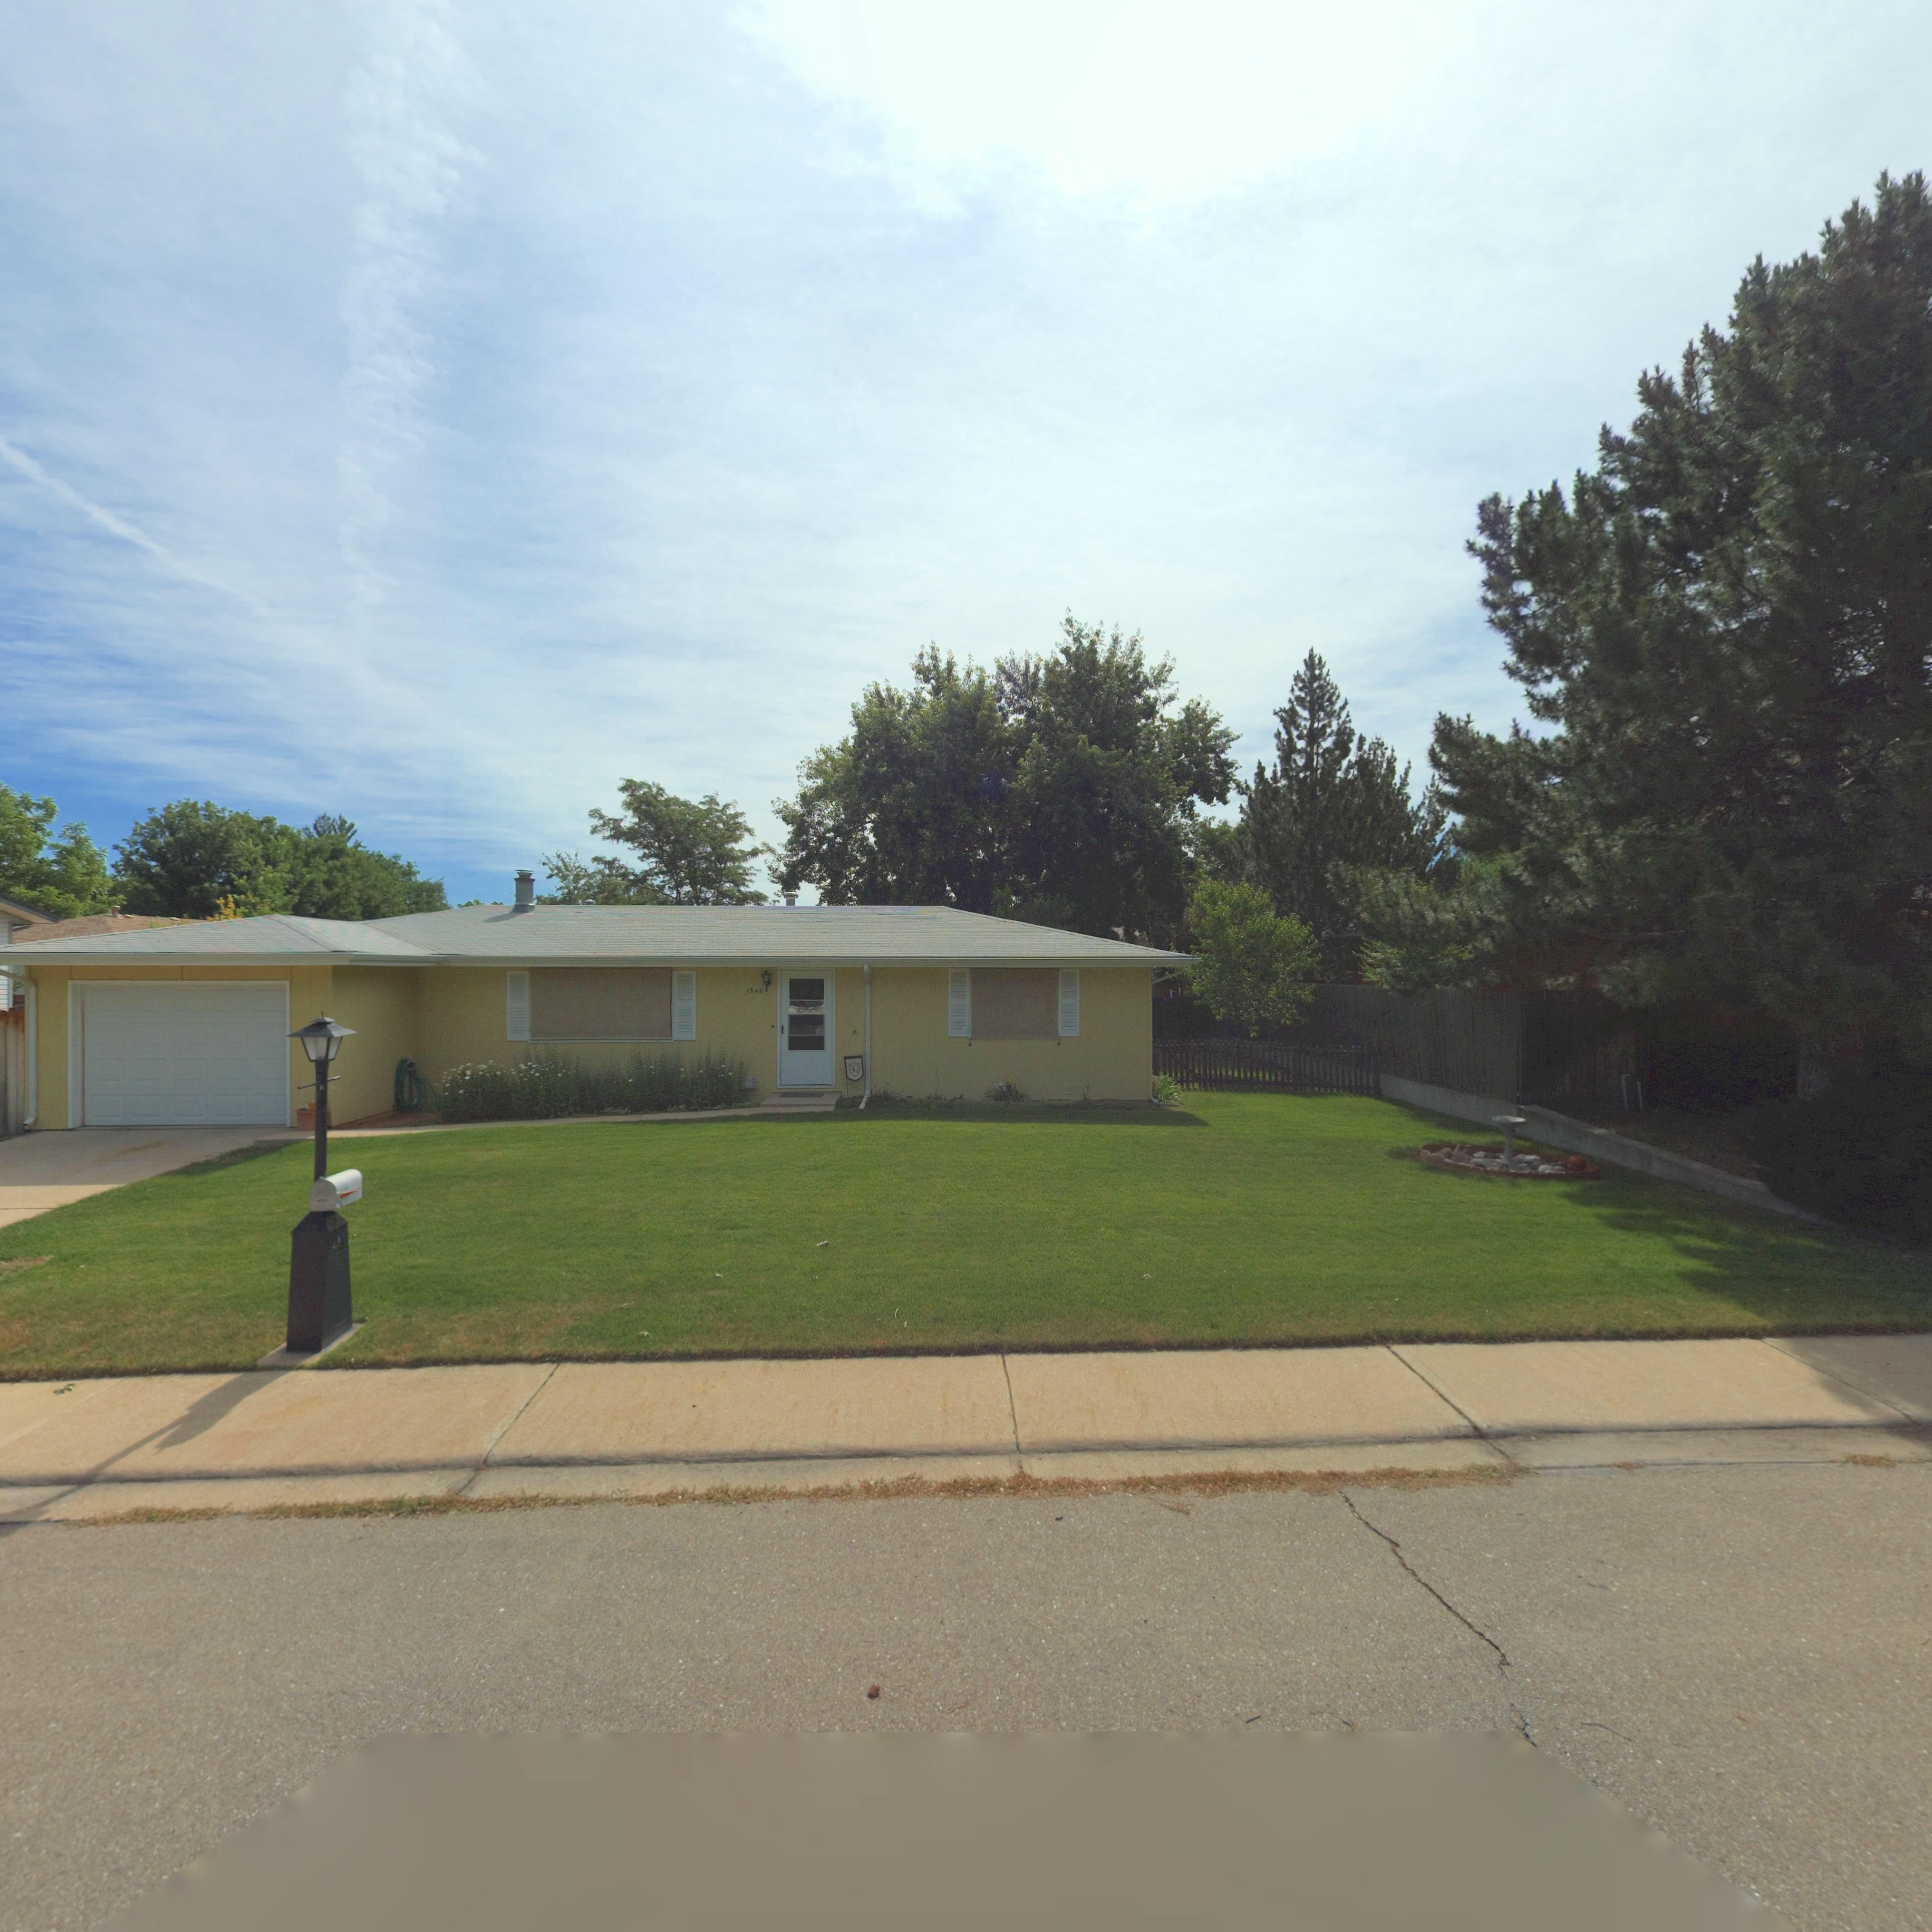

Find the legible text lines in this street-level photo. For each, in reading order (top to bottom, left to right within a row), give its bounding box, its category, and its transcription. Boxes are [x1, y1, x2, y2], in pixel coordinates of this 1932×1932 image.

[746, 987, 763, 994] StreetNumber: 1546